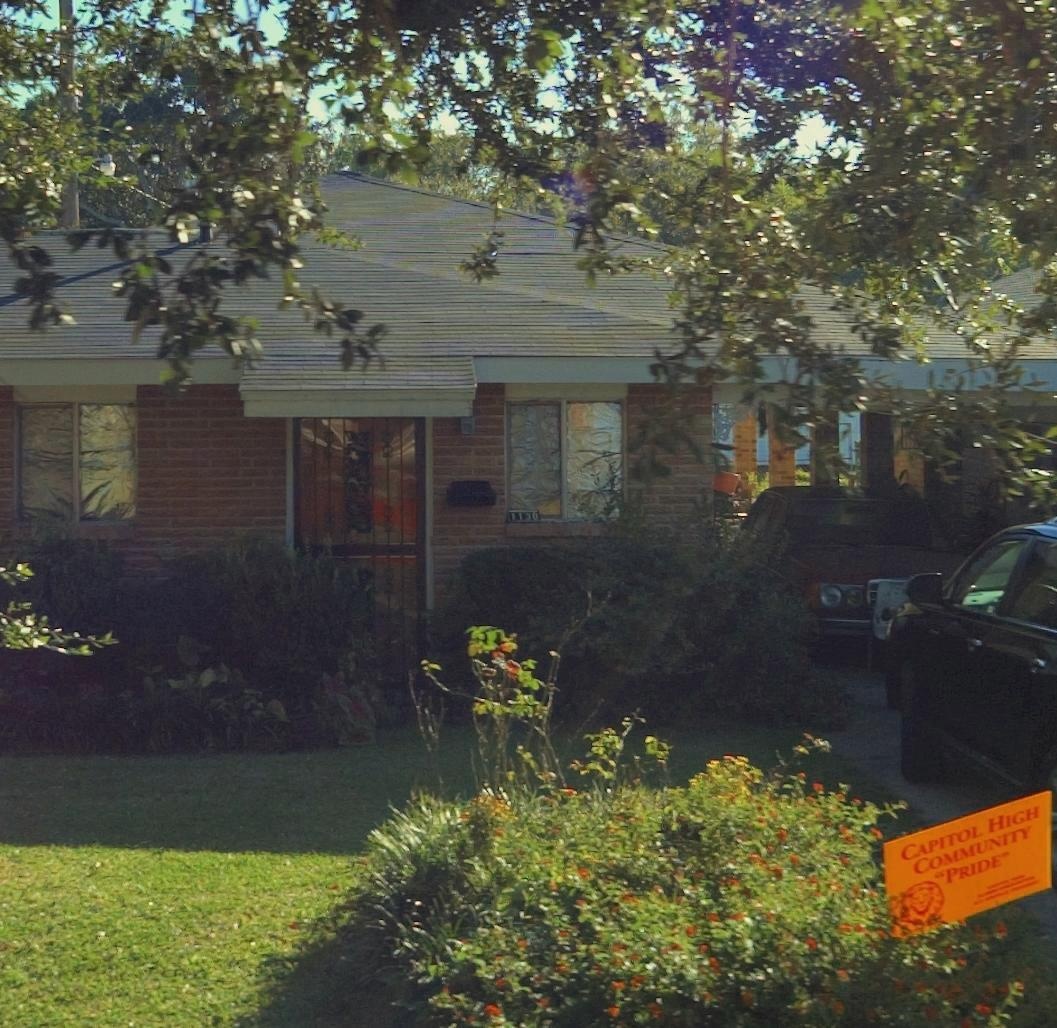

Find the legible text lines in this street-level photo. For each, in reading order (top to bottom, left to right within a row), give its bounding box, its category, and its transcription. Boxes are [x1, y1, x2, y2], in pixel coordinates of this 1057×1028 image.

[509, 510, 540, 522] StreetNumber: 1136
[898, 803, 1043, 863] None: CAPITOL HIGH
[910, 822, 1035, 878] None: COMMUNITY
[943, 849, 1004, 886] None: PRIDE